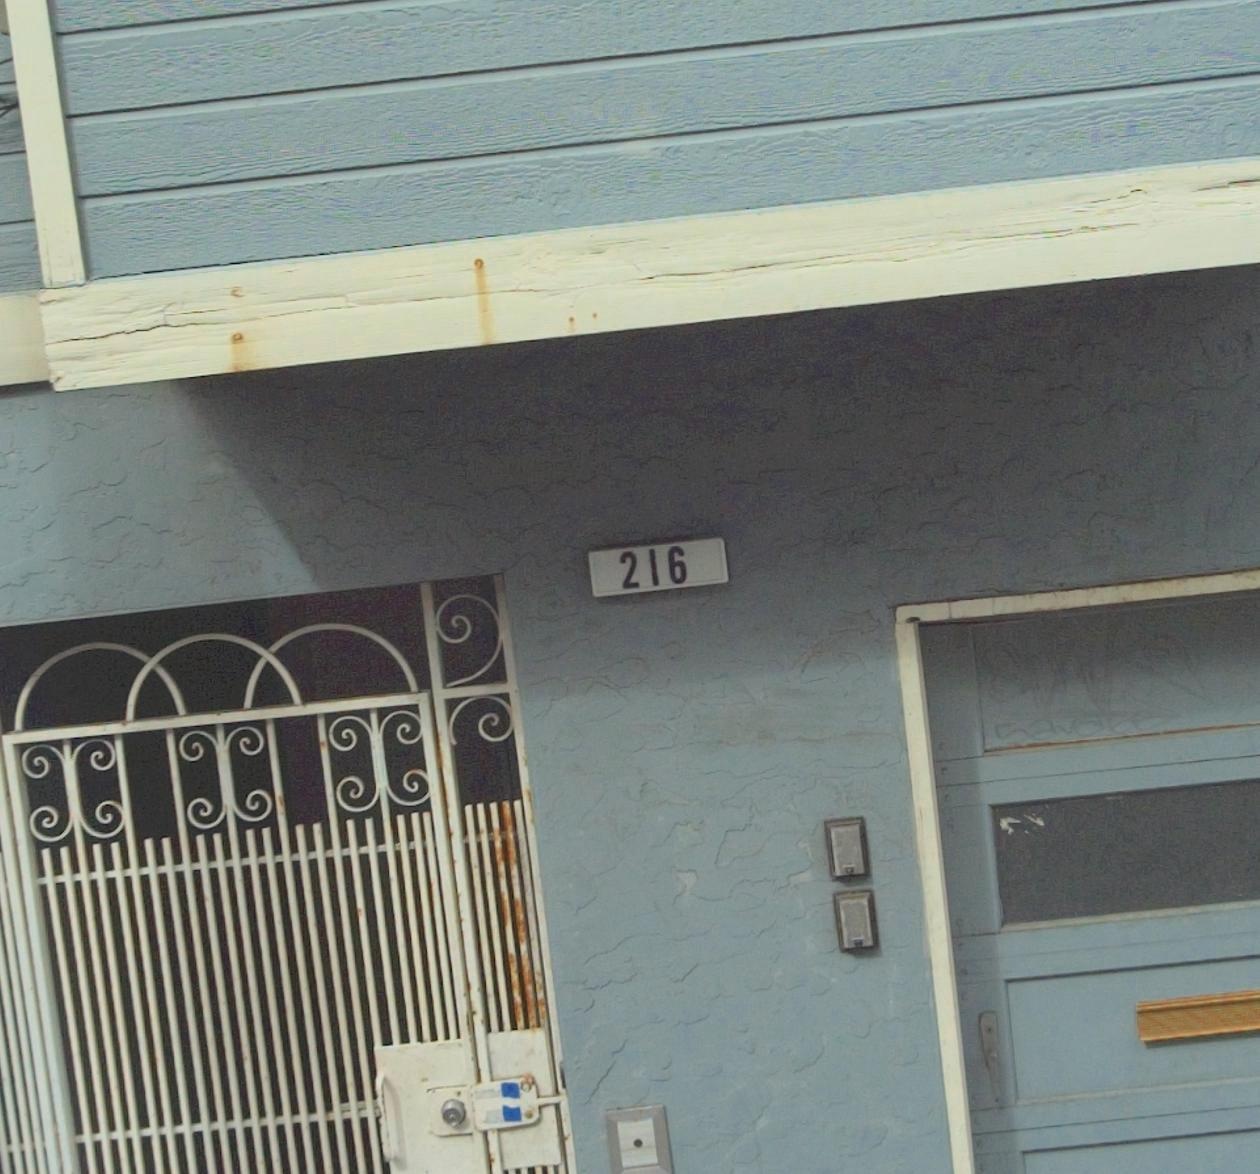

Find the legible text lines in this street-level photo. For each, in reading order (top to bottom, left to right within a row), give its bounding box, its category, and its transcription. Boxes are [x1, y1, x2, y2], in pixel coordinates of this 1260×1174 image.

[616, 542, 690, 591] StreetNumber: 216